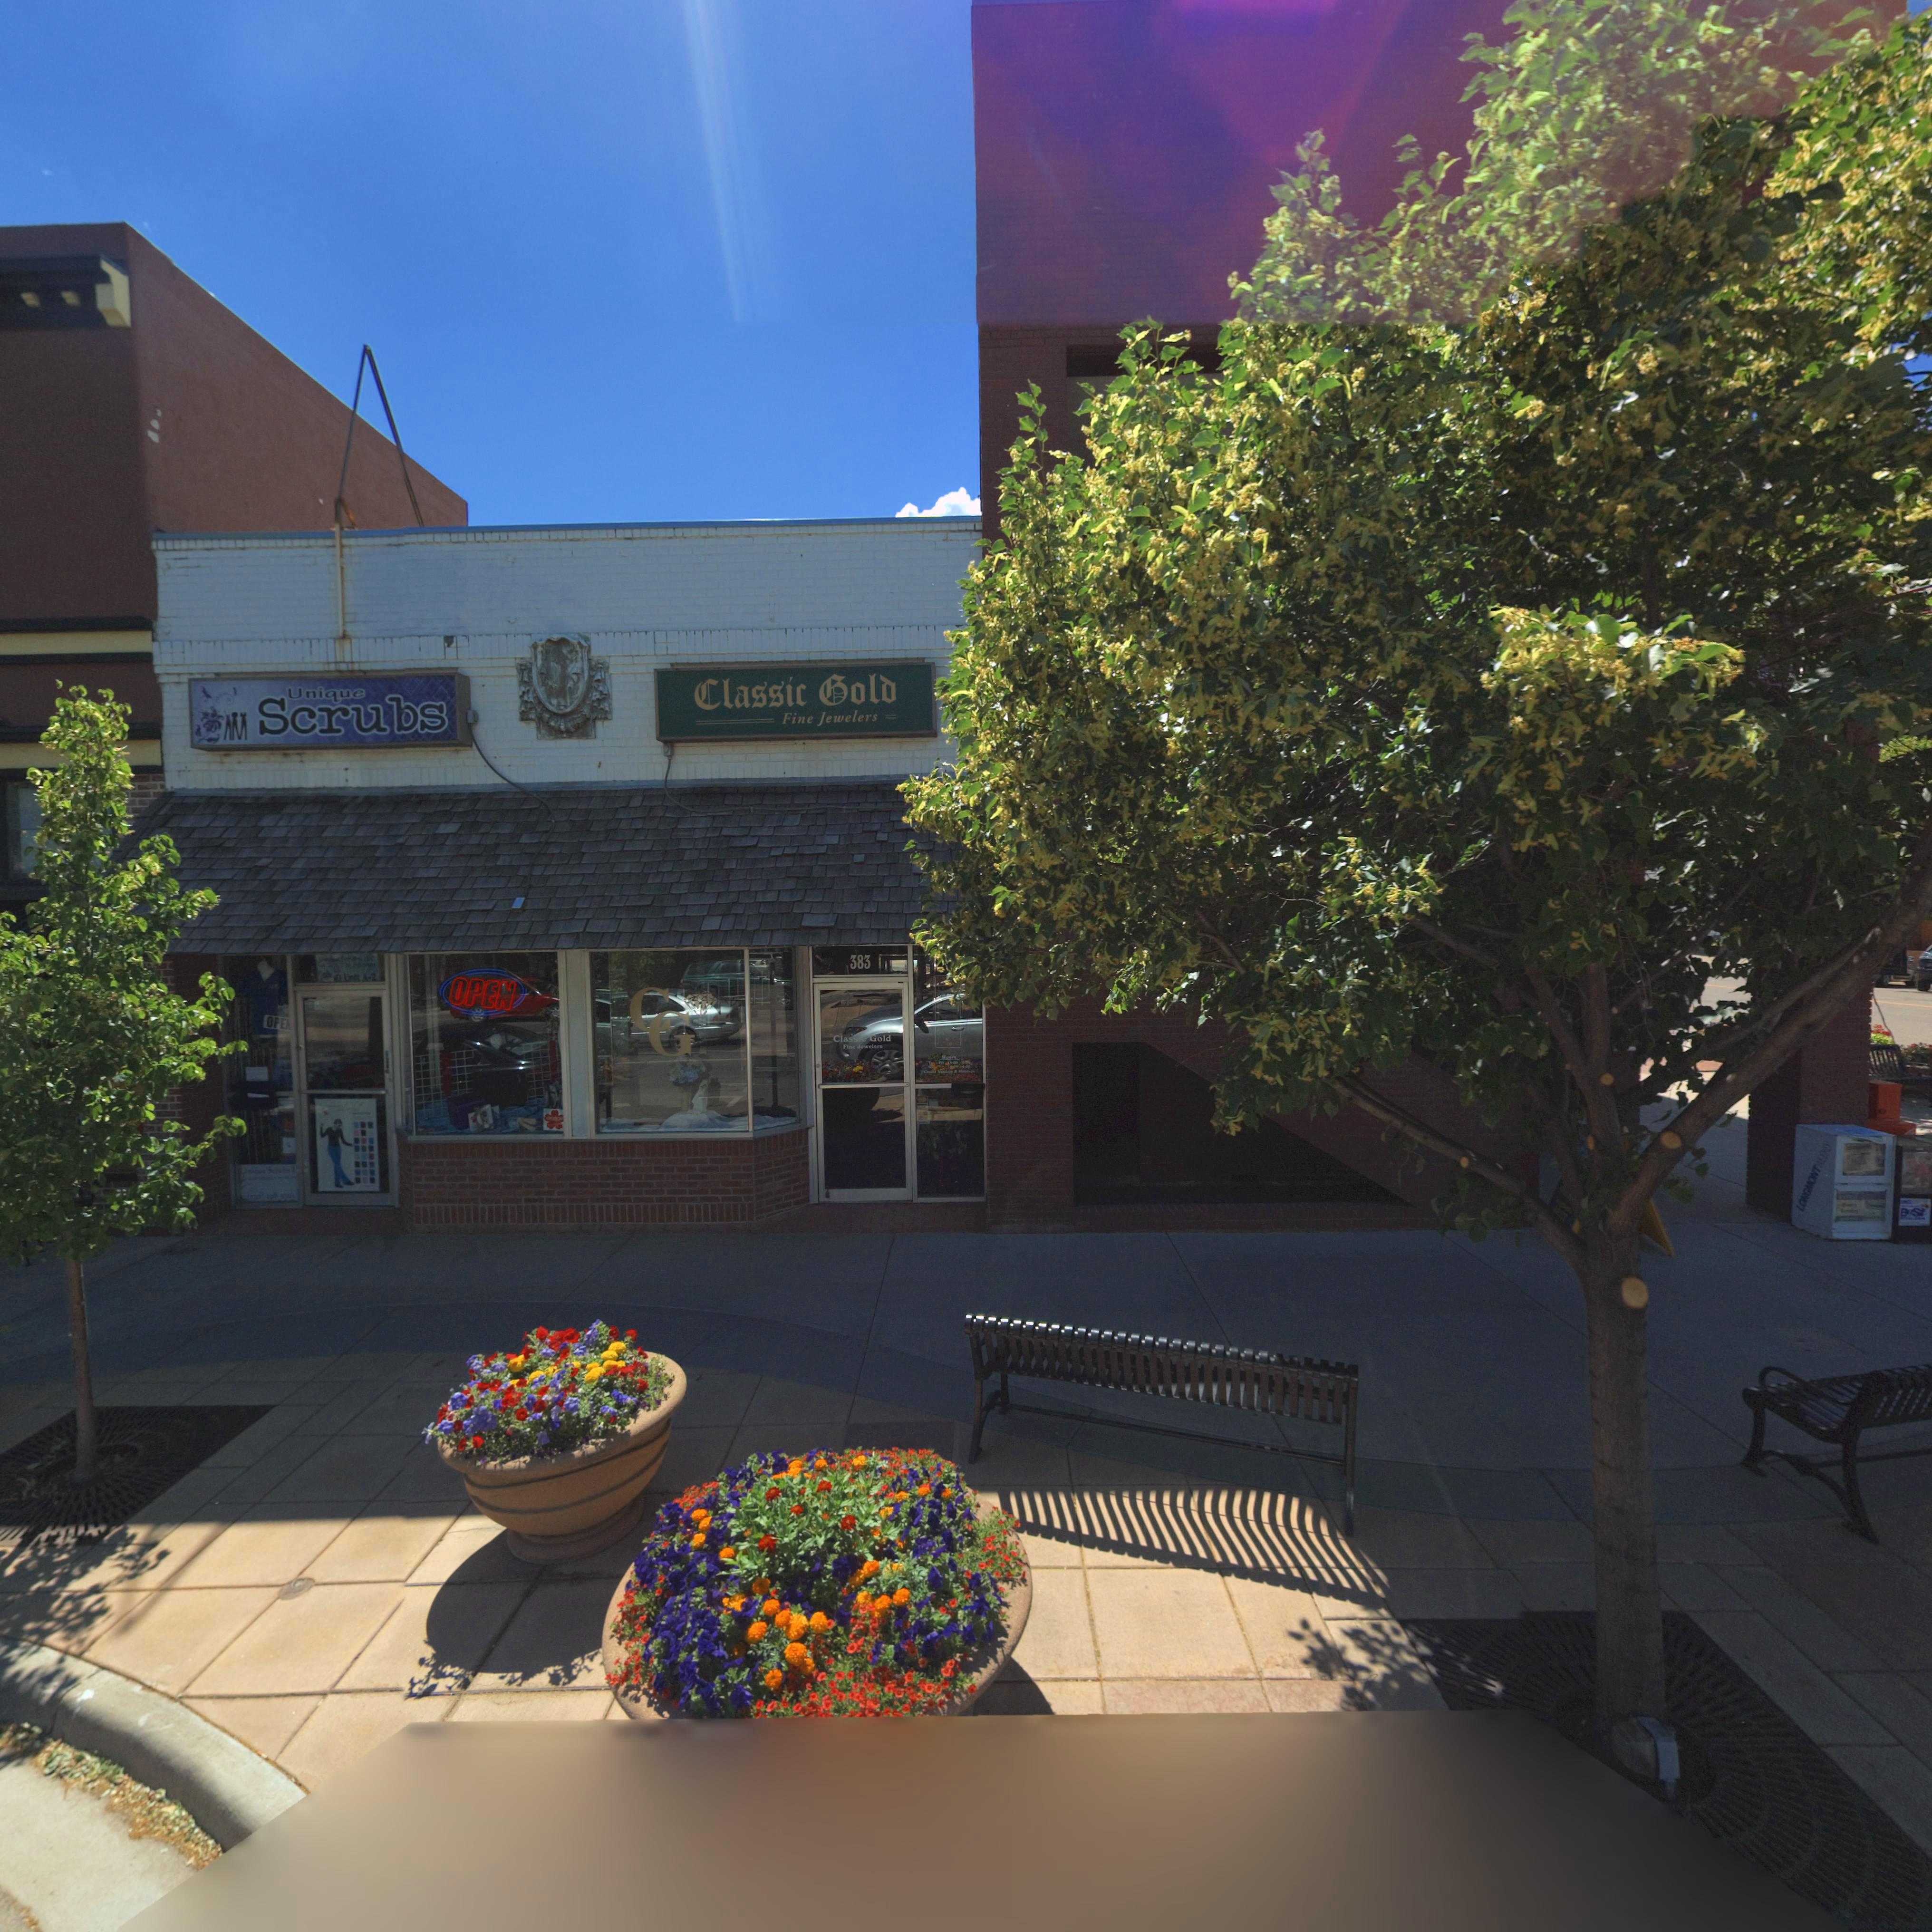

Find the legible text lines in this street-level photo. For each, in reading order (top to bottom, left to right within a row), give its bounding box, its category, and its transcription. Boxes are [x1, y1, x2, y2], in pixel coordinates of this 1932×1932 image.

[286, 686, 366, 703] BusinessName: Unique
[693, 671, 898, 711] BusinessName: Classic Gold
[256, 693, 448, 735] BusinessName: Scrubs
[849, 954, 871, 969] StreetNumber: 383
[832, 1033, 892, 1043] BusinessName: Classic Gold